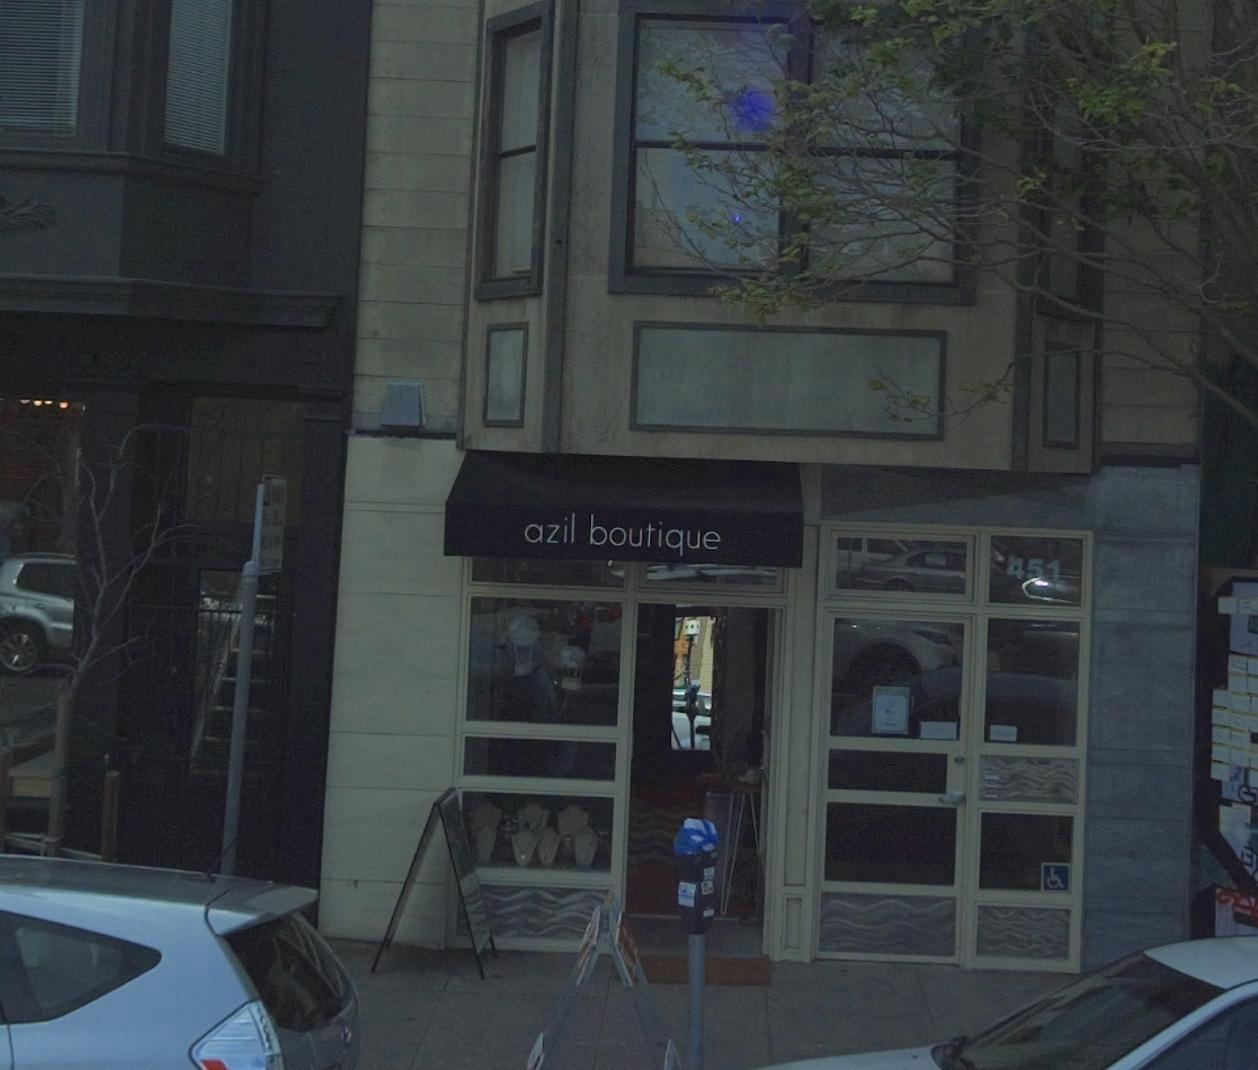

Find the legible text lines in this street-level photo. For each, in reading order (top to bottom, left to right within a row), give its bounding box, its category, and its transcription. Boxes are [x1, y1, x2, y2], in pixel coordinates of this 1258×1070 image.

[518, 510, 723, 559] BusinessName: azil boutique
[999, 555, 1061, 585] StreetNumber: 451